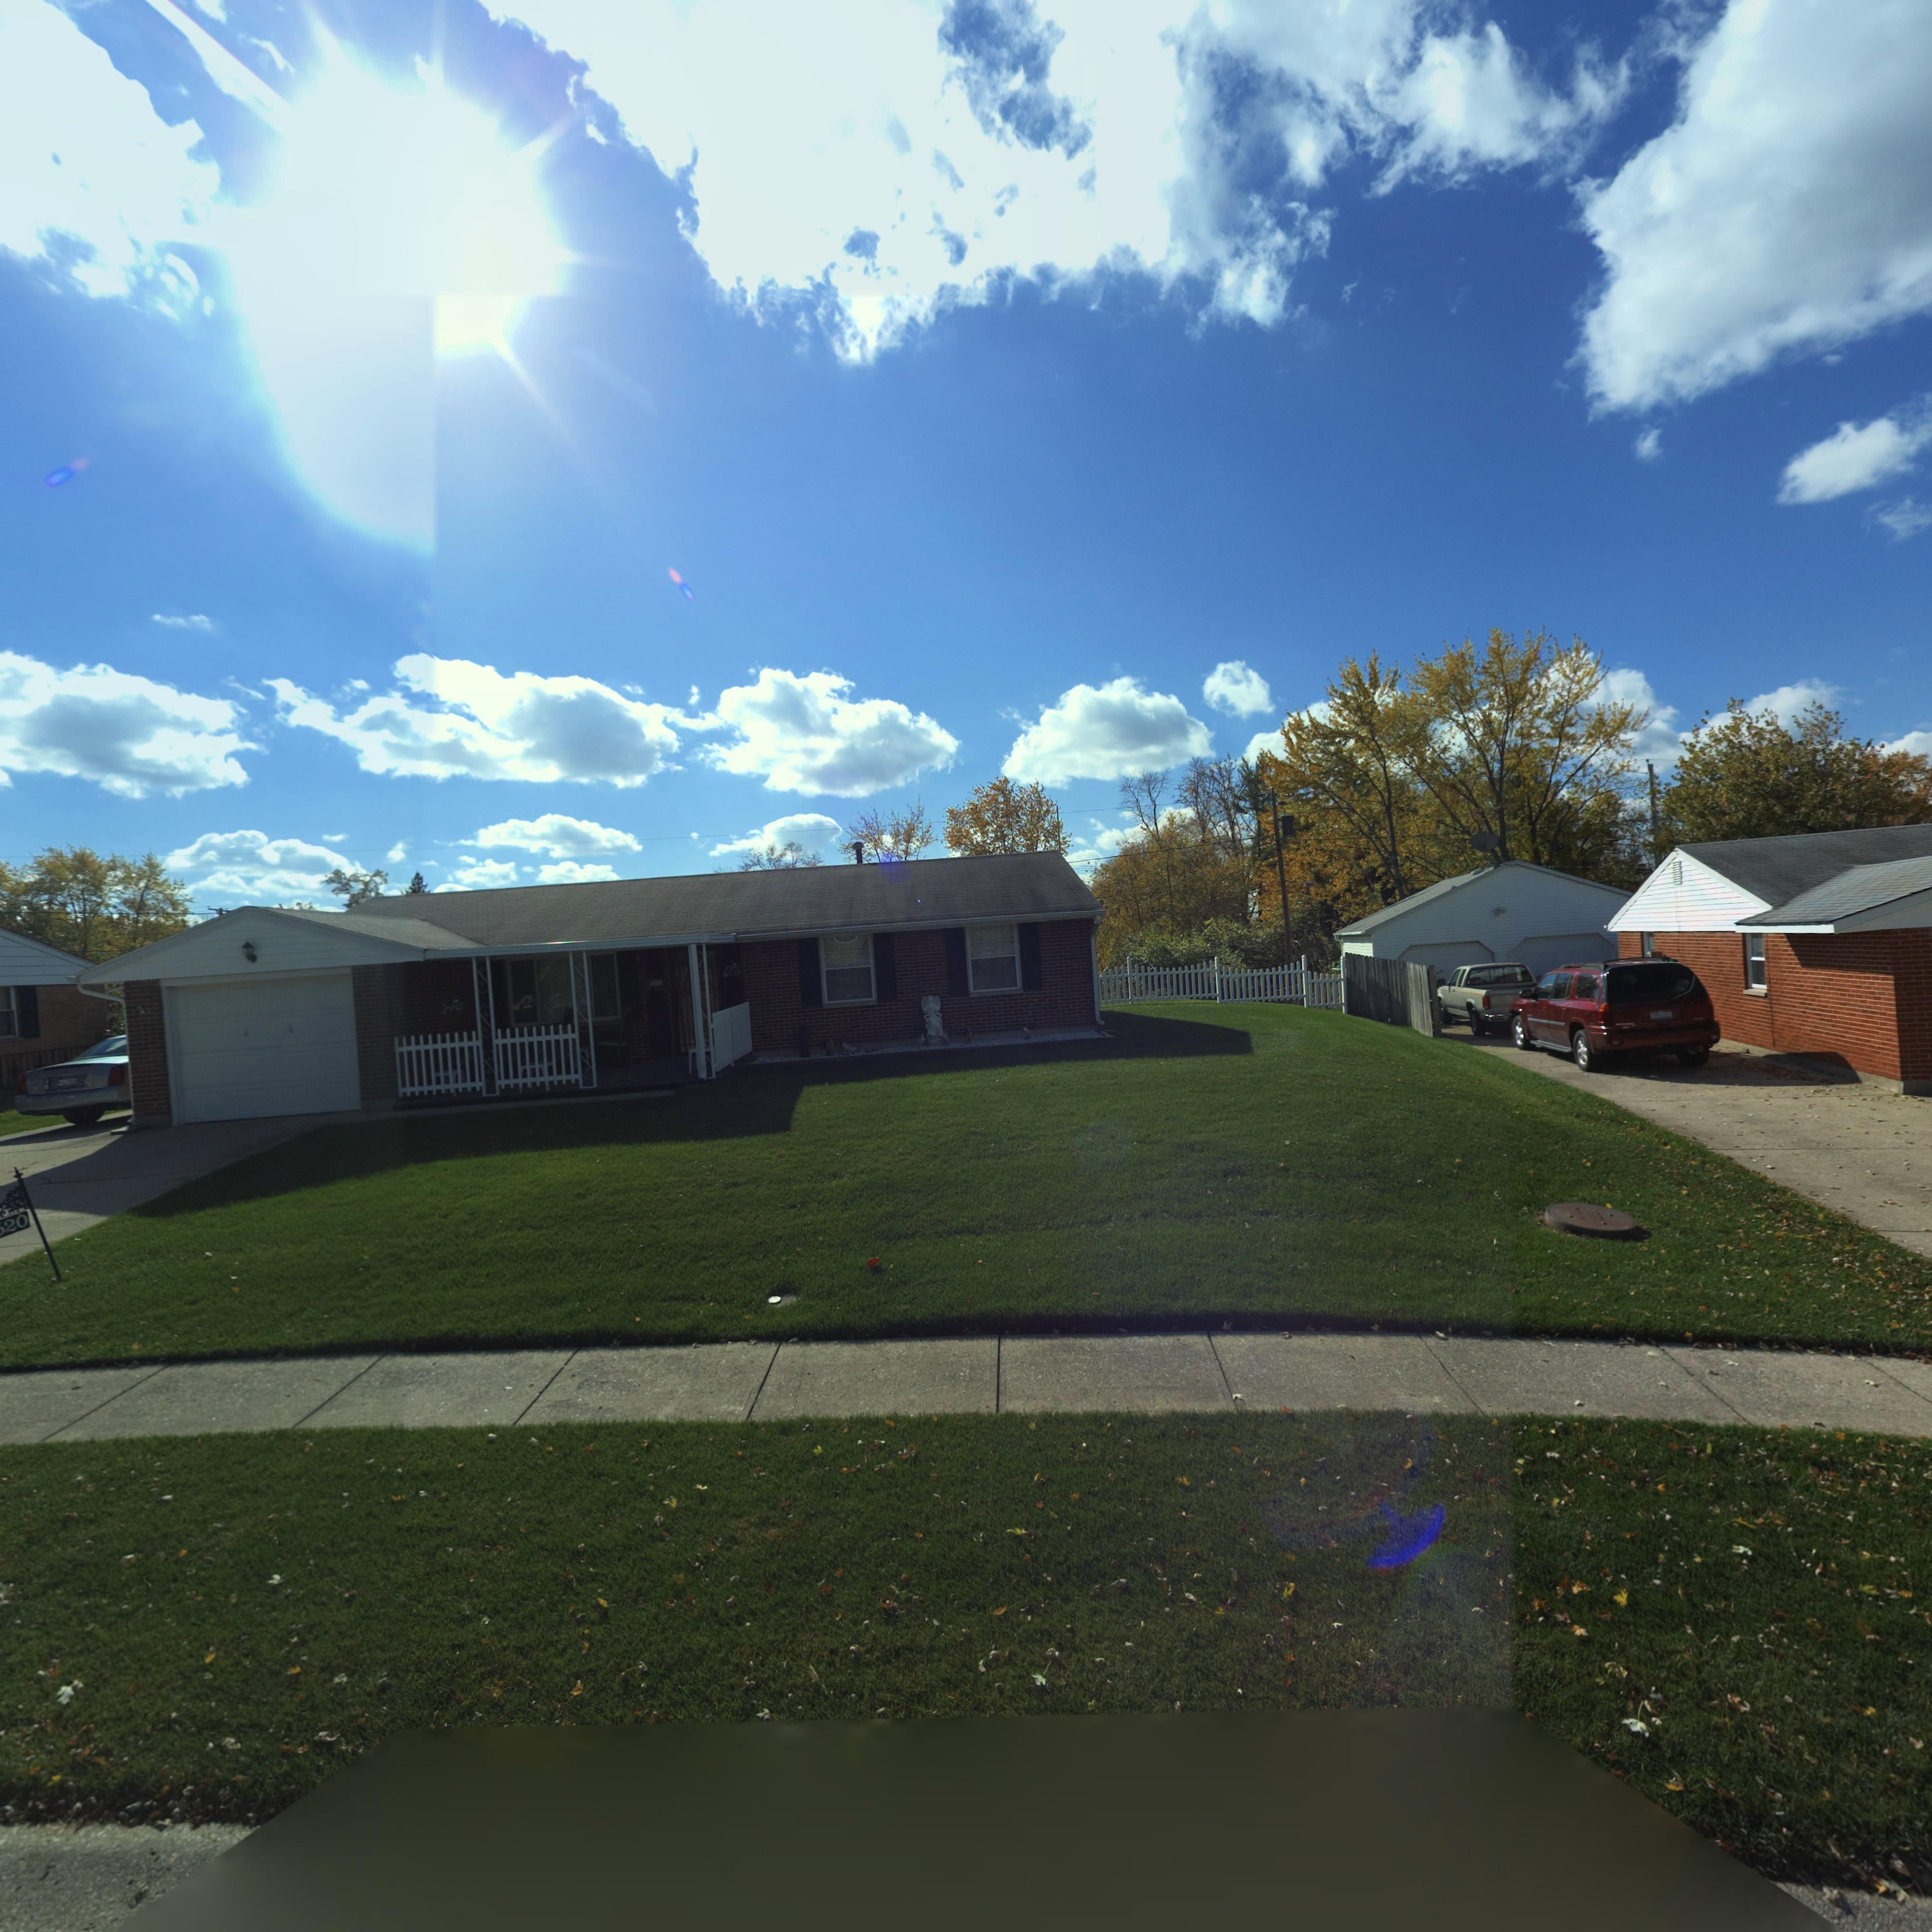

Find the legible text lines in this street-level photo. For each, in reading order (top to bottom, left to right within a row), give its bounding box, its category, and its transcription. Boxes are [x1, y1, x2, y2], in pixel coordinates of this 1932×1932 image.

[3, 1214, 29, 1234] StreetNumber: 20